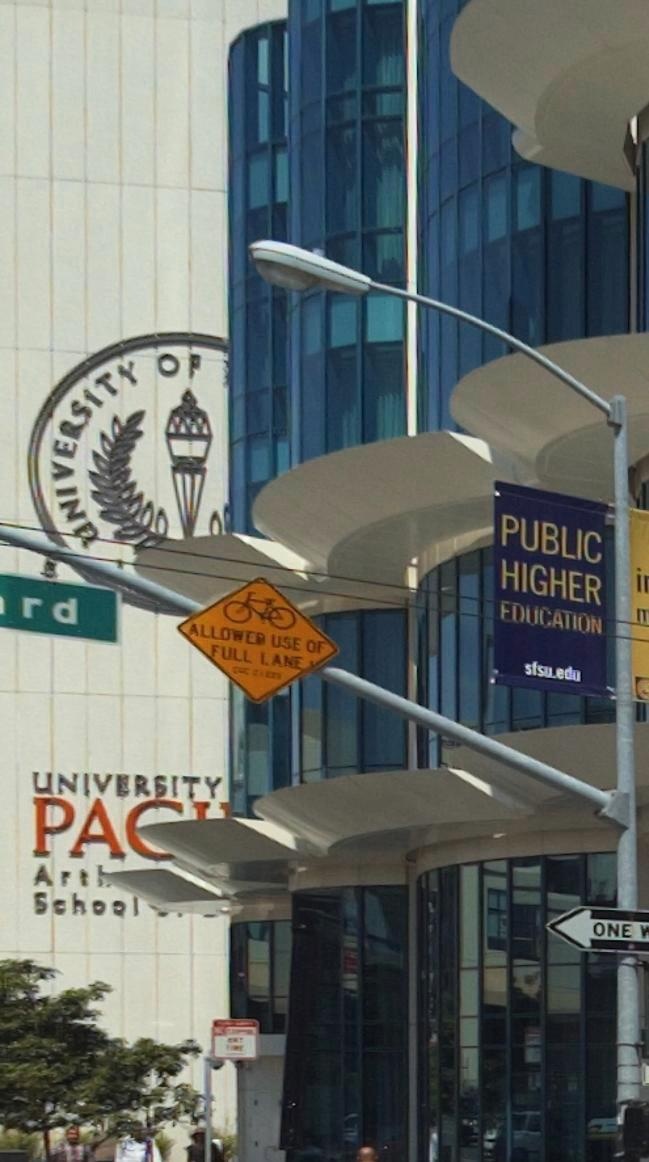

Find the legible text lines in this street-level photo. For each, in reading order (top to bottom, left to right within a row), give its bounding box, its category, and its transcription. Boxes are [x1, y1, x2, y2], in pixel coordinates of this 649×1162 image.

[42, 342, 215, 555] BusinessName: UNIVERSITY OF
[500, 512, 604, 566] None: PUBLIC
[500, 557, 603, 607] None: HIGHER
[635, 565, 643, 594] None: i
[22, 588, 84, 629] StreetName: rd
[499, 598, 604, 636] None: EDUCATION
[187, 620, 326, 655] None: ALLOWED USE OF
[209, 643, 303, 670] None: FULL LANE
[524, 658, 583, 683] None: sfsu.edu
[30, 769, 224, 798] BusinessName: UNIVERSITY
[29, 795, 126, 858] BusinessName: PA
[31, 860, 92, 888] BusinessName: Art
[31, 892, 140, 916] BusinessName: School
[592, 921, 634, 938] None: ONE